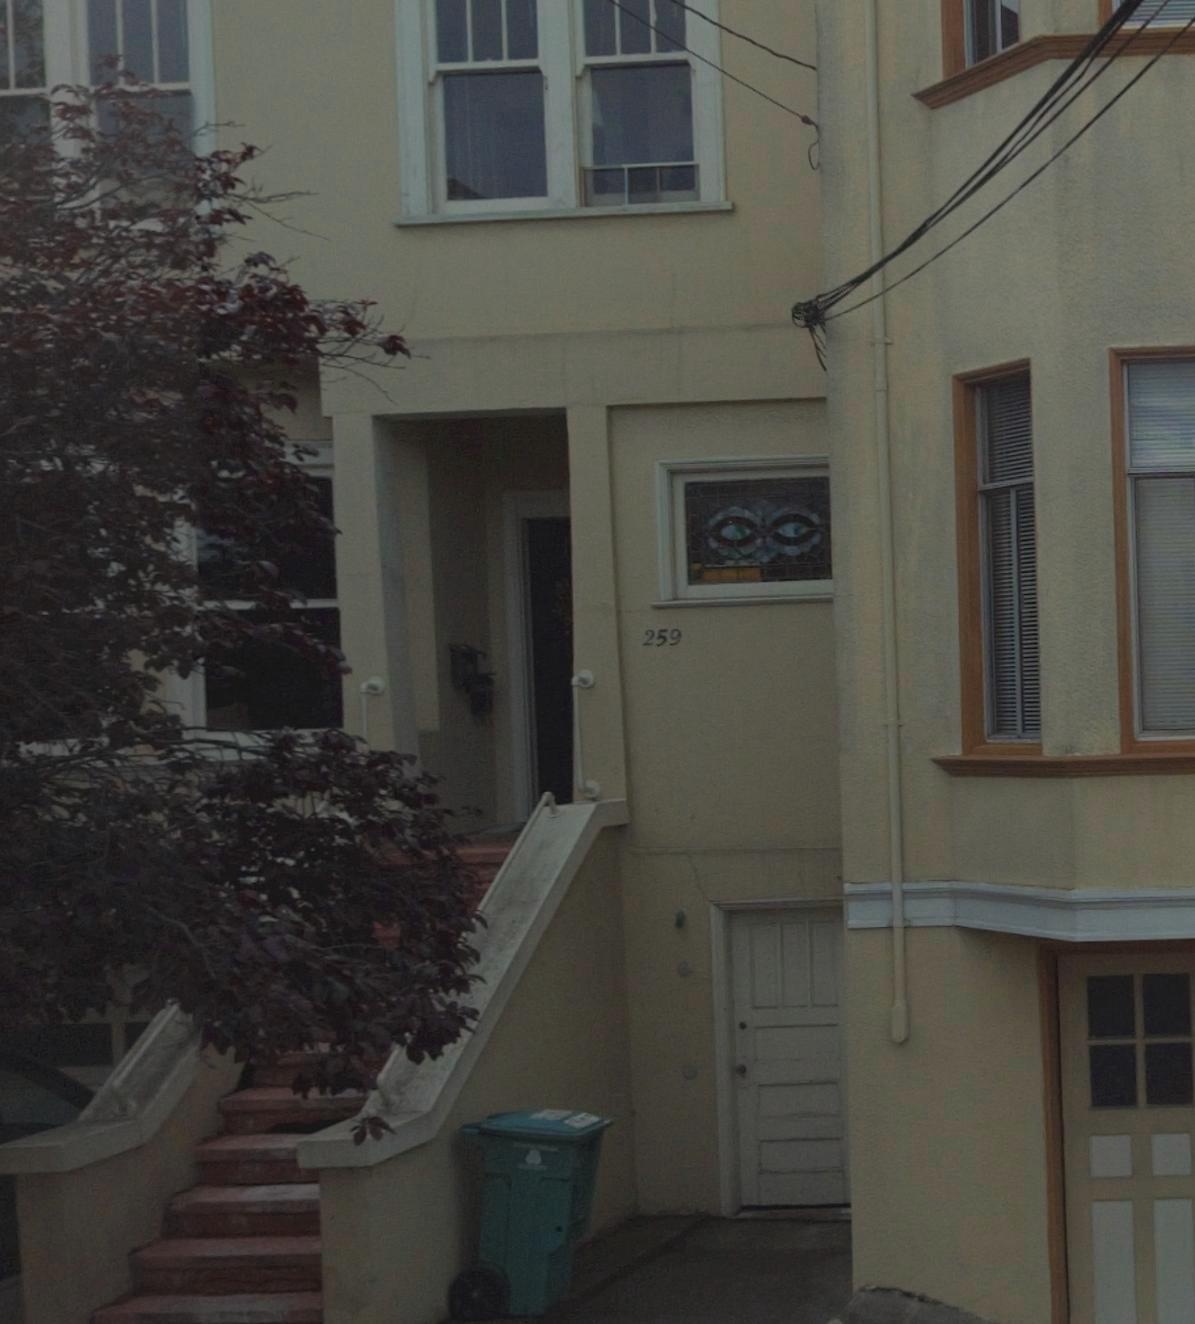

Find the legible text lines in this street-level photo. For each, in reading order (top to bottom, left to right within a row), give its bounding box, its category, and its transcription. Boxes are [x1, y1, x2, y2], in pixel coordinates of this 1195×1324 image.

[642, 627, 683, 647] StreetNumber: 259